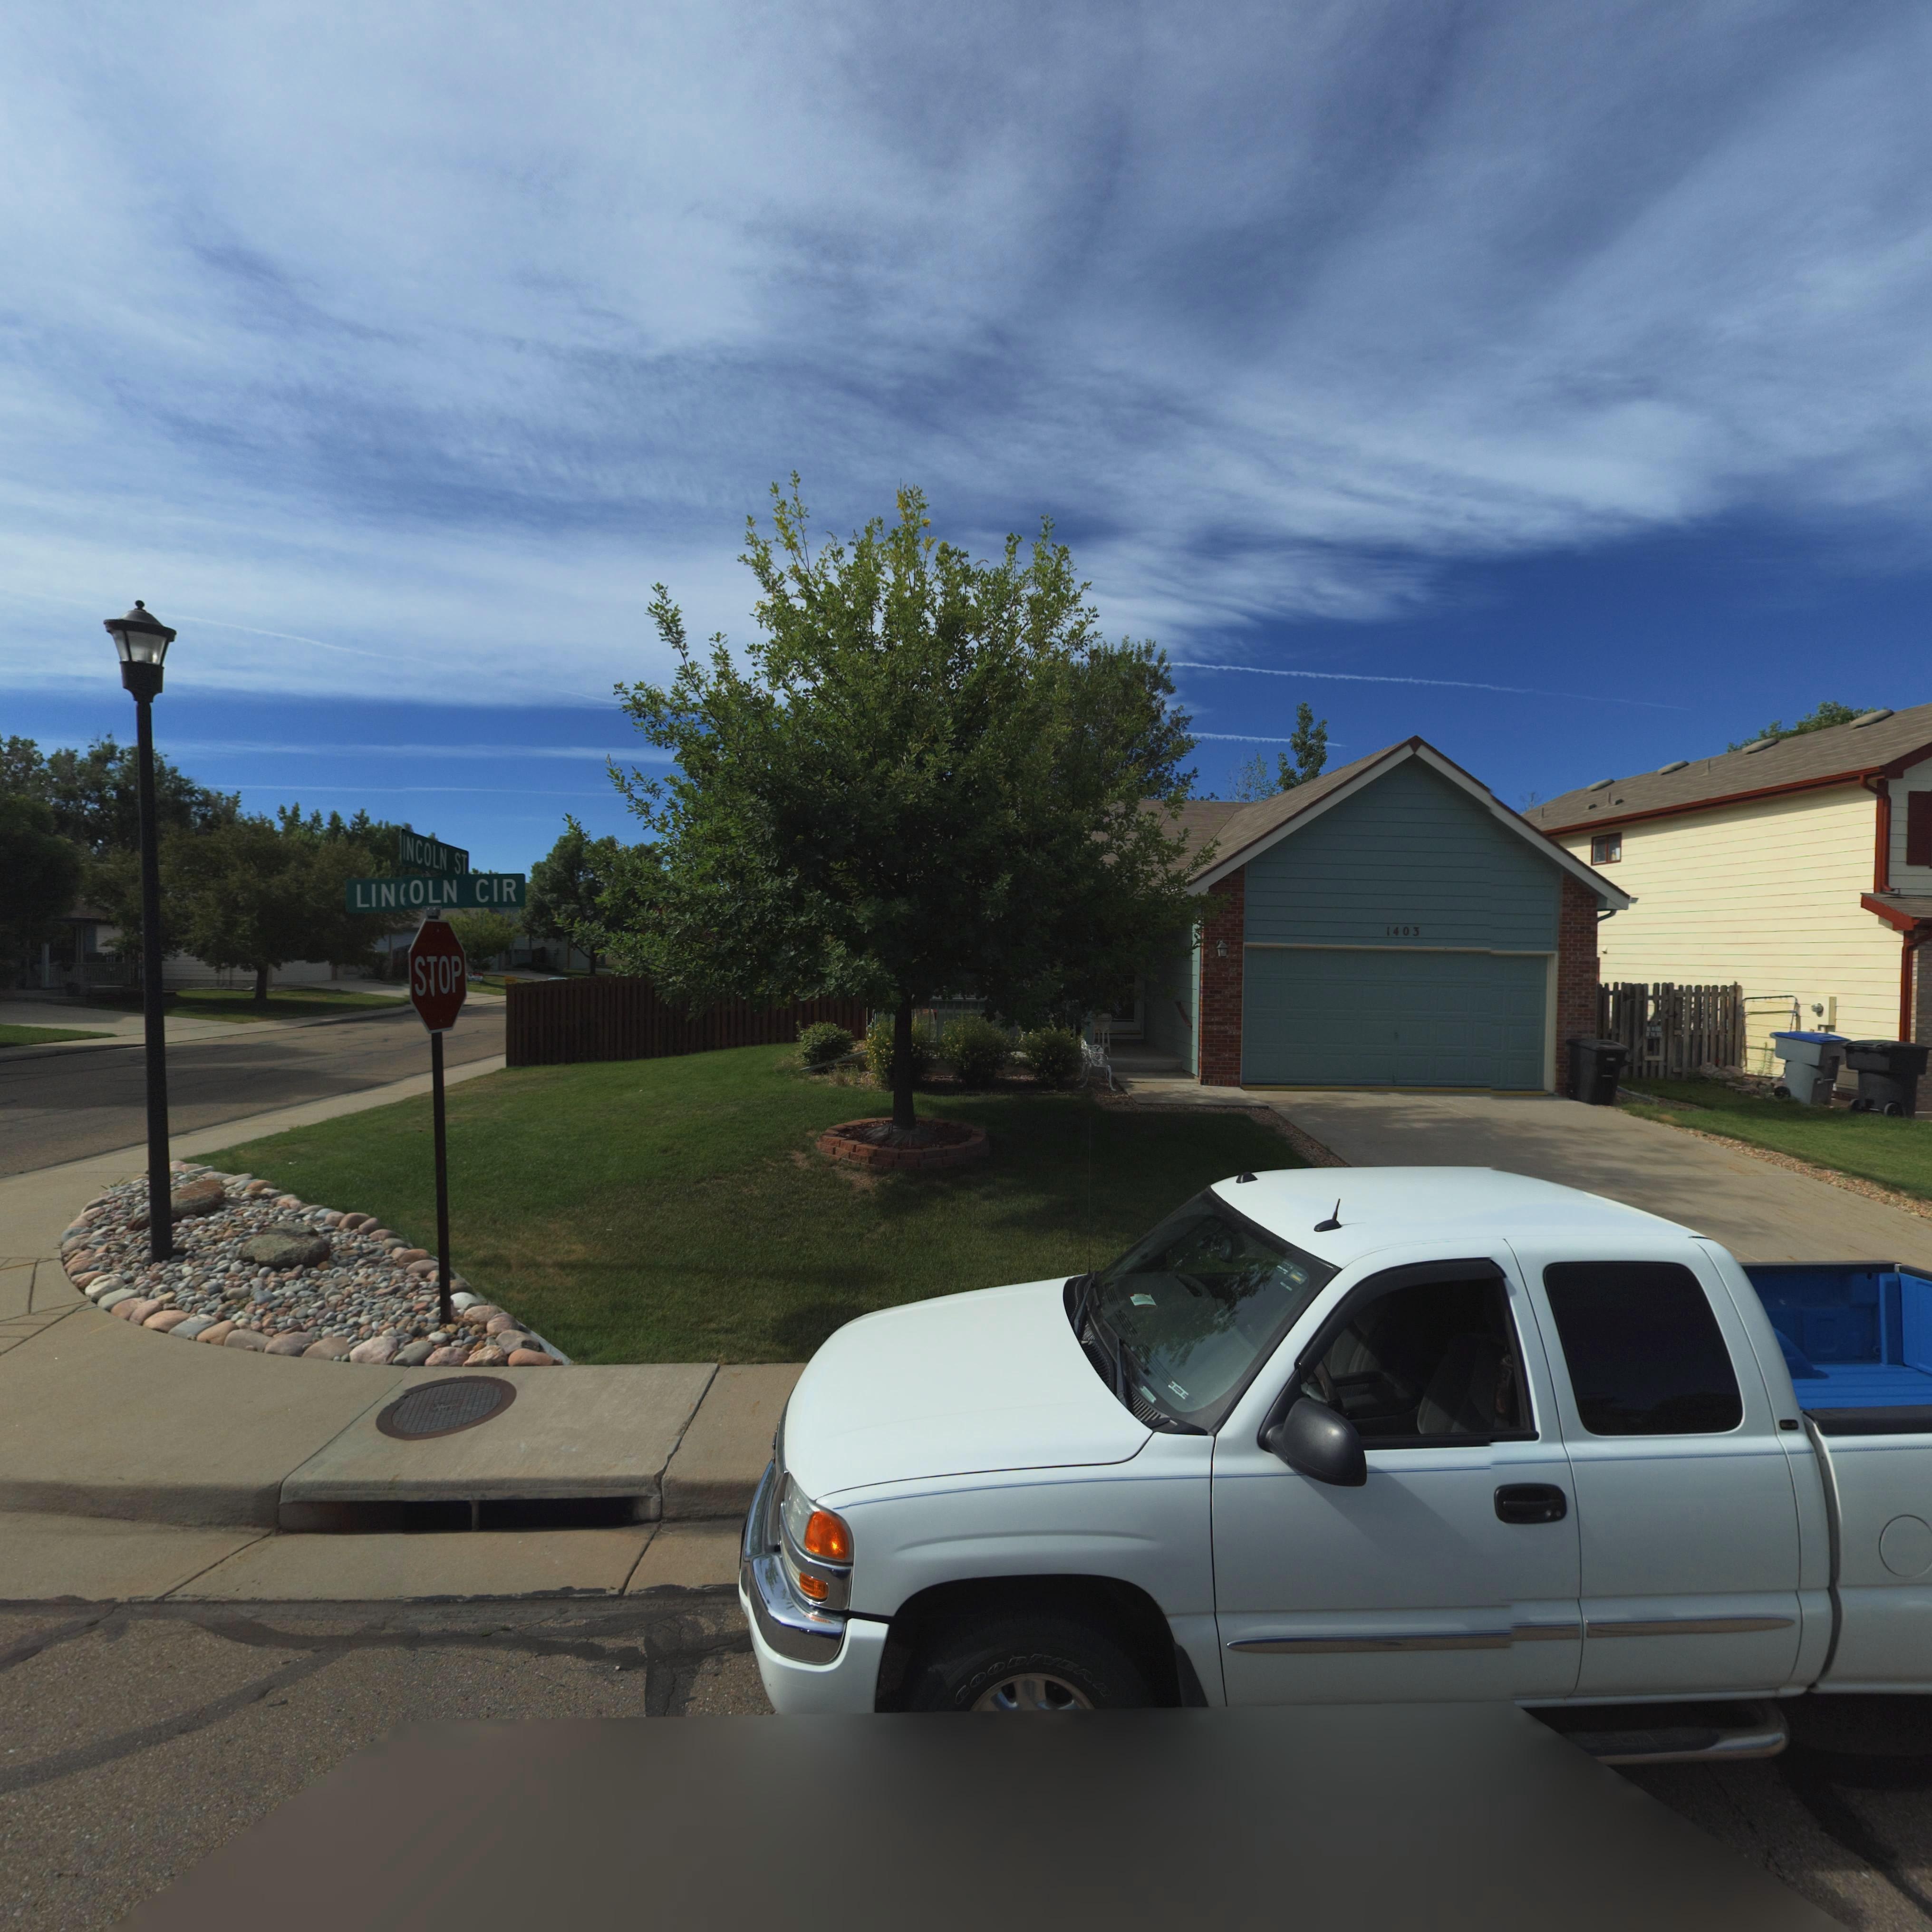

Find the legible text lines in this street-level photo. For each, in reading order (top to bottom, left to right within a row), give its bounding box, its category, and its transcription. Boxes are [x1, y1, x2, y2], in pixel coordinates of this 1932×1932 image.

[402, 833, 467, 875] StreetName: *INCOLN ST
[355, 878, 517, 908] StreetName: LIN*OLN CIR
[1386, 926, 1420, 937] StreetNumber: 1403